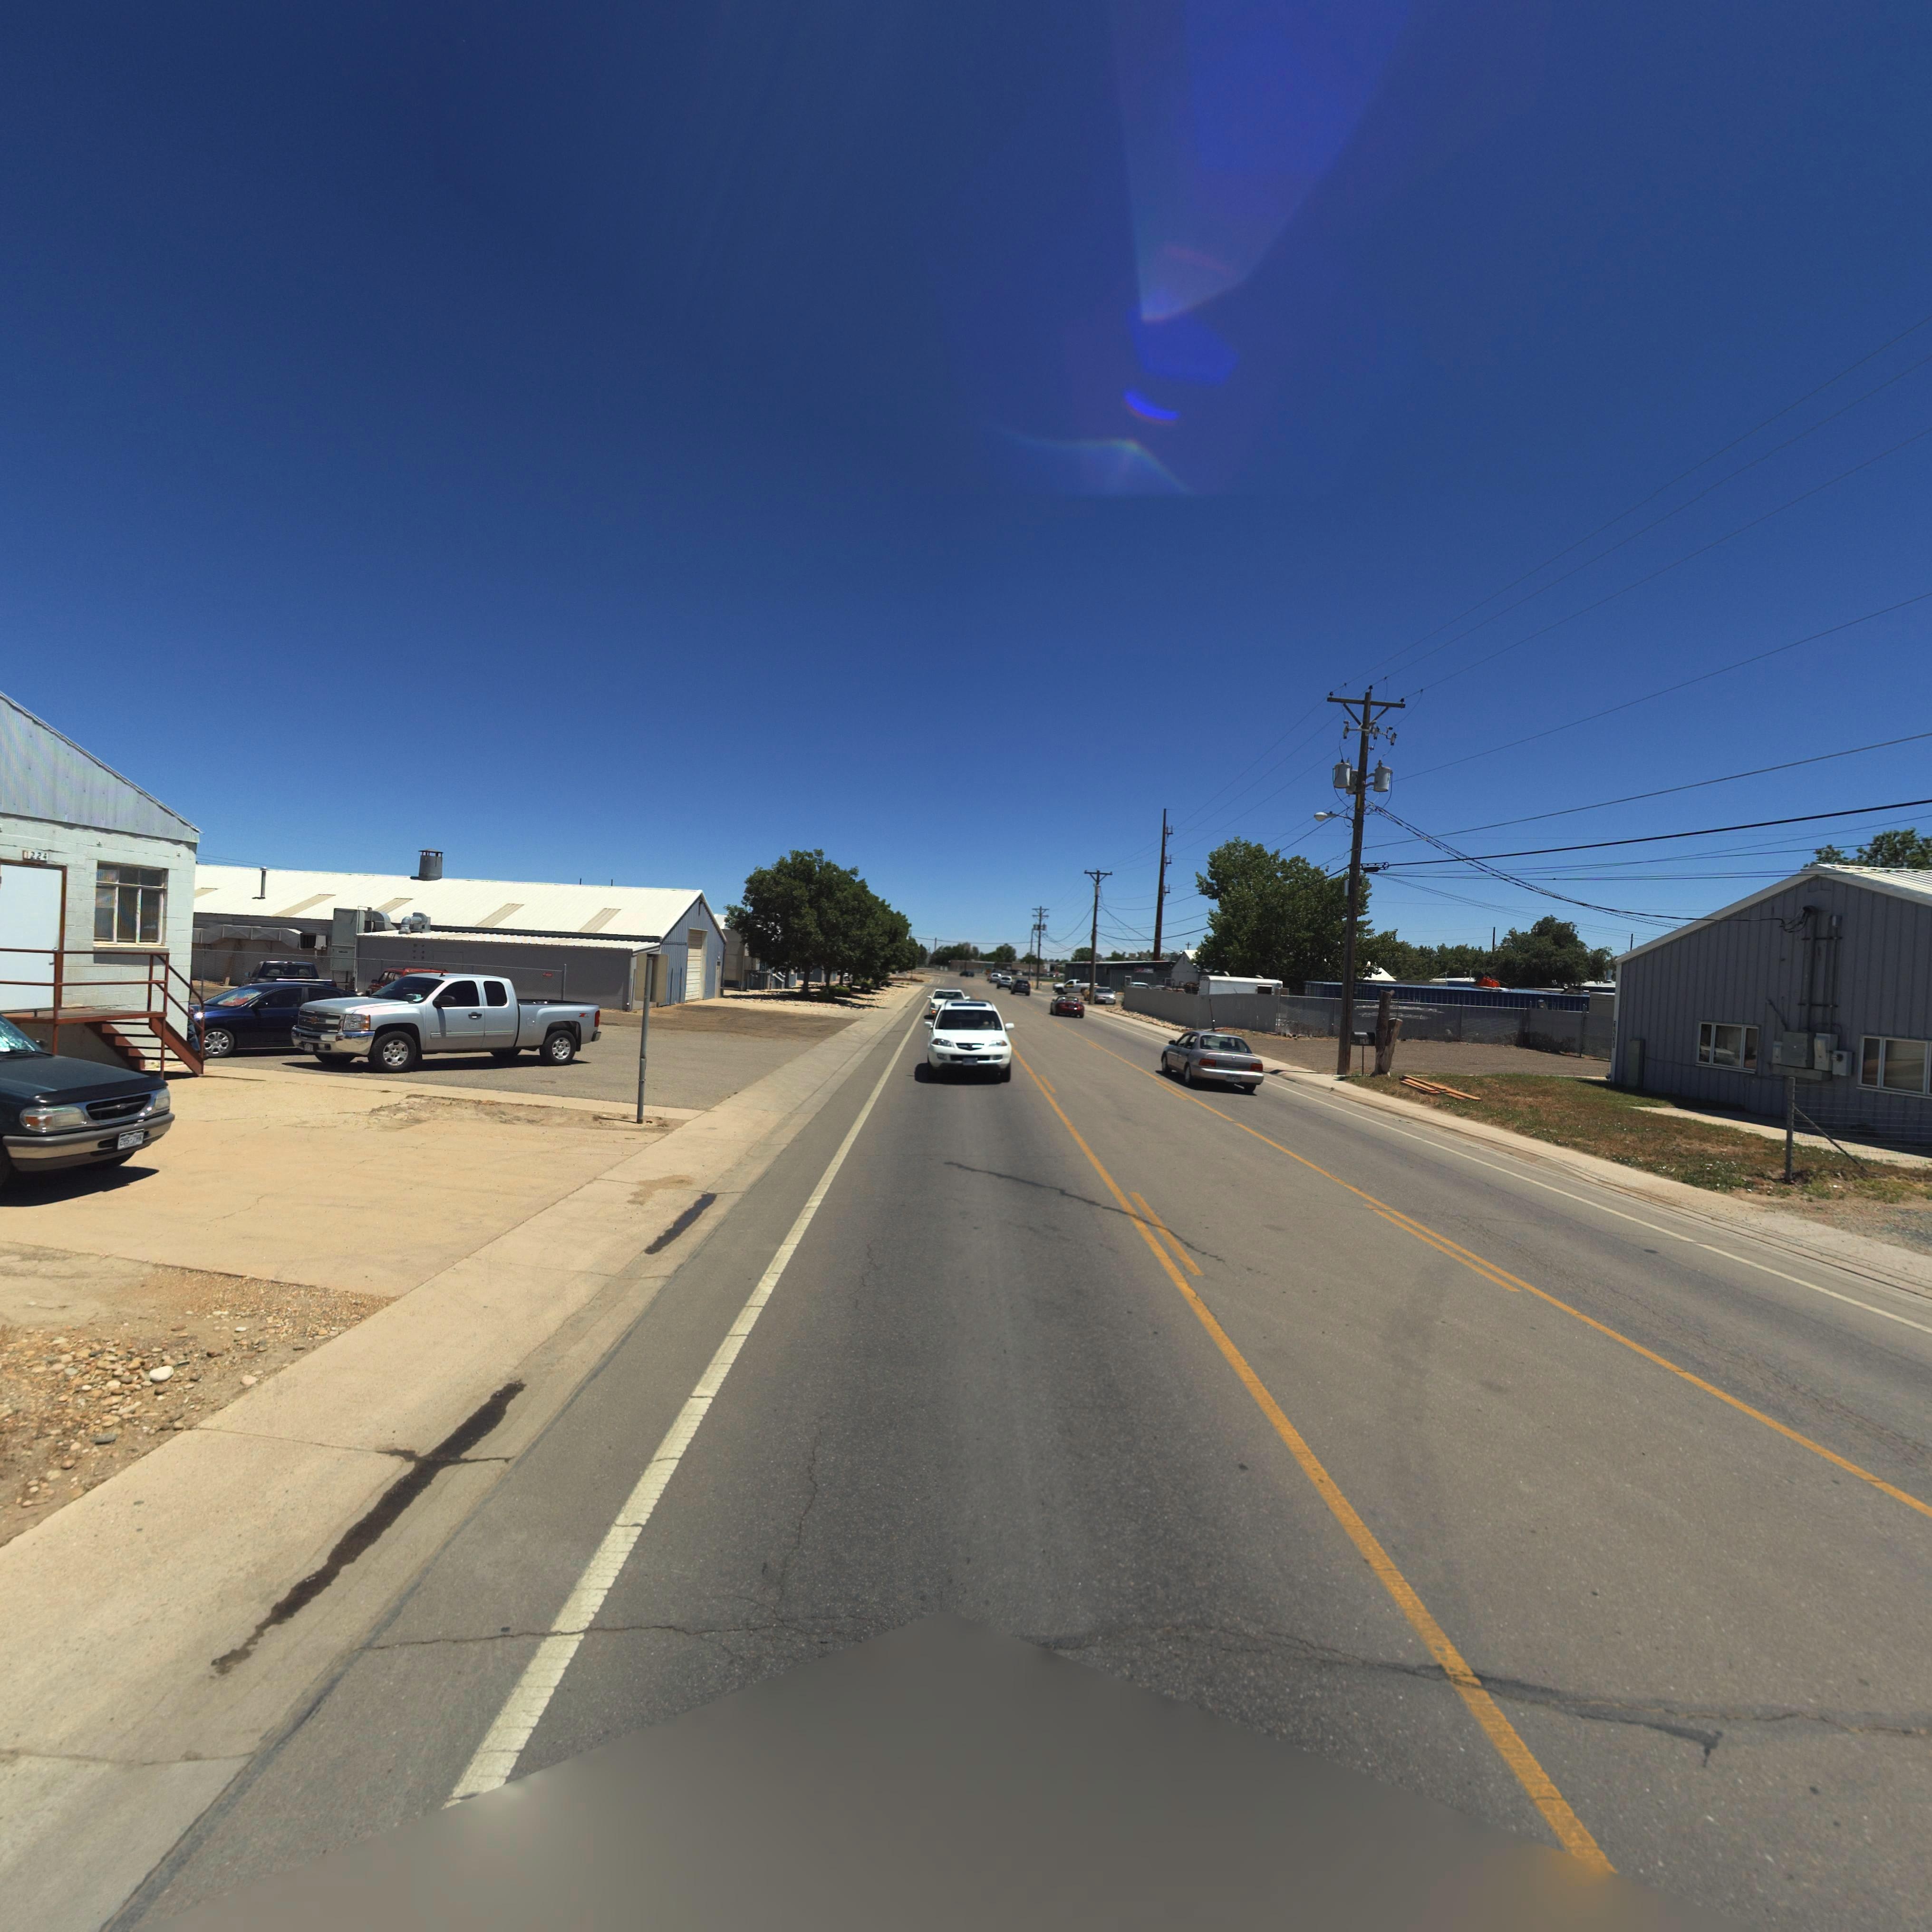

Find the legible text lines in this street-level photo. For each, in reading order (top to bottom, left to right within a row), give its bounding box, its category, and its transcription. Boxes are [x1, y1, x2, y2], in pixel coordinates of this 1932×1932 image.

[26, 851, 47, 860] StreetNumber: 1224
[1612, 1021, 1615, 1047] StreetNumber: 12*5
[1359, 1038, 1369, 1044] StreetNumber: 1**